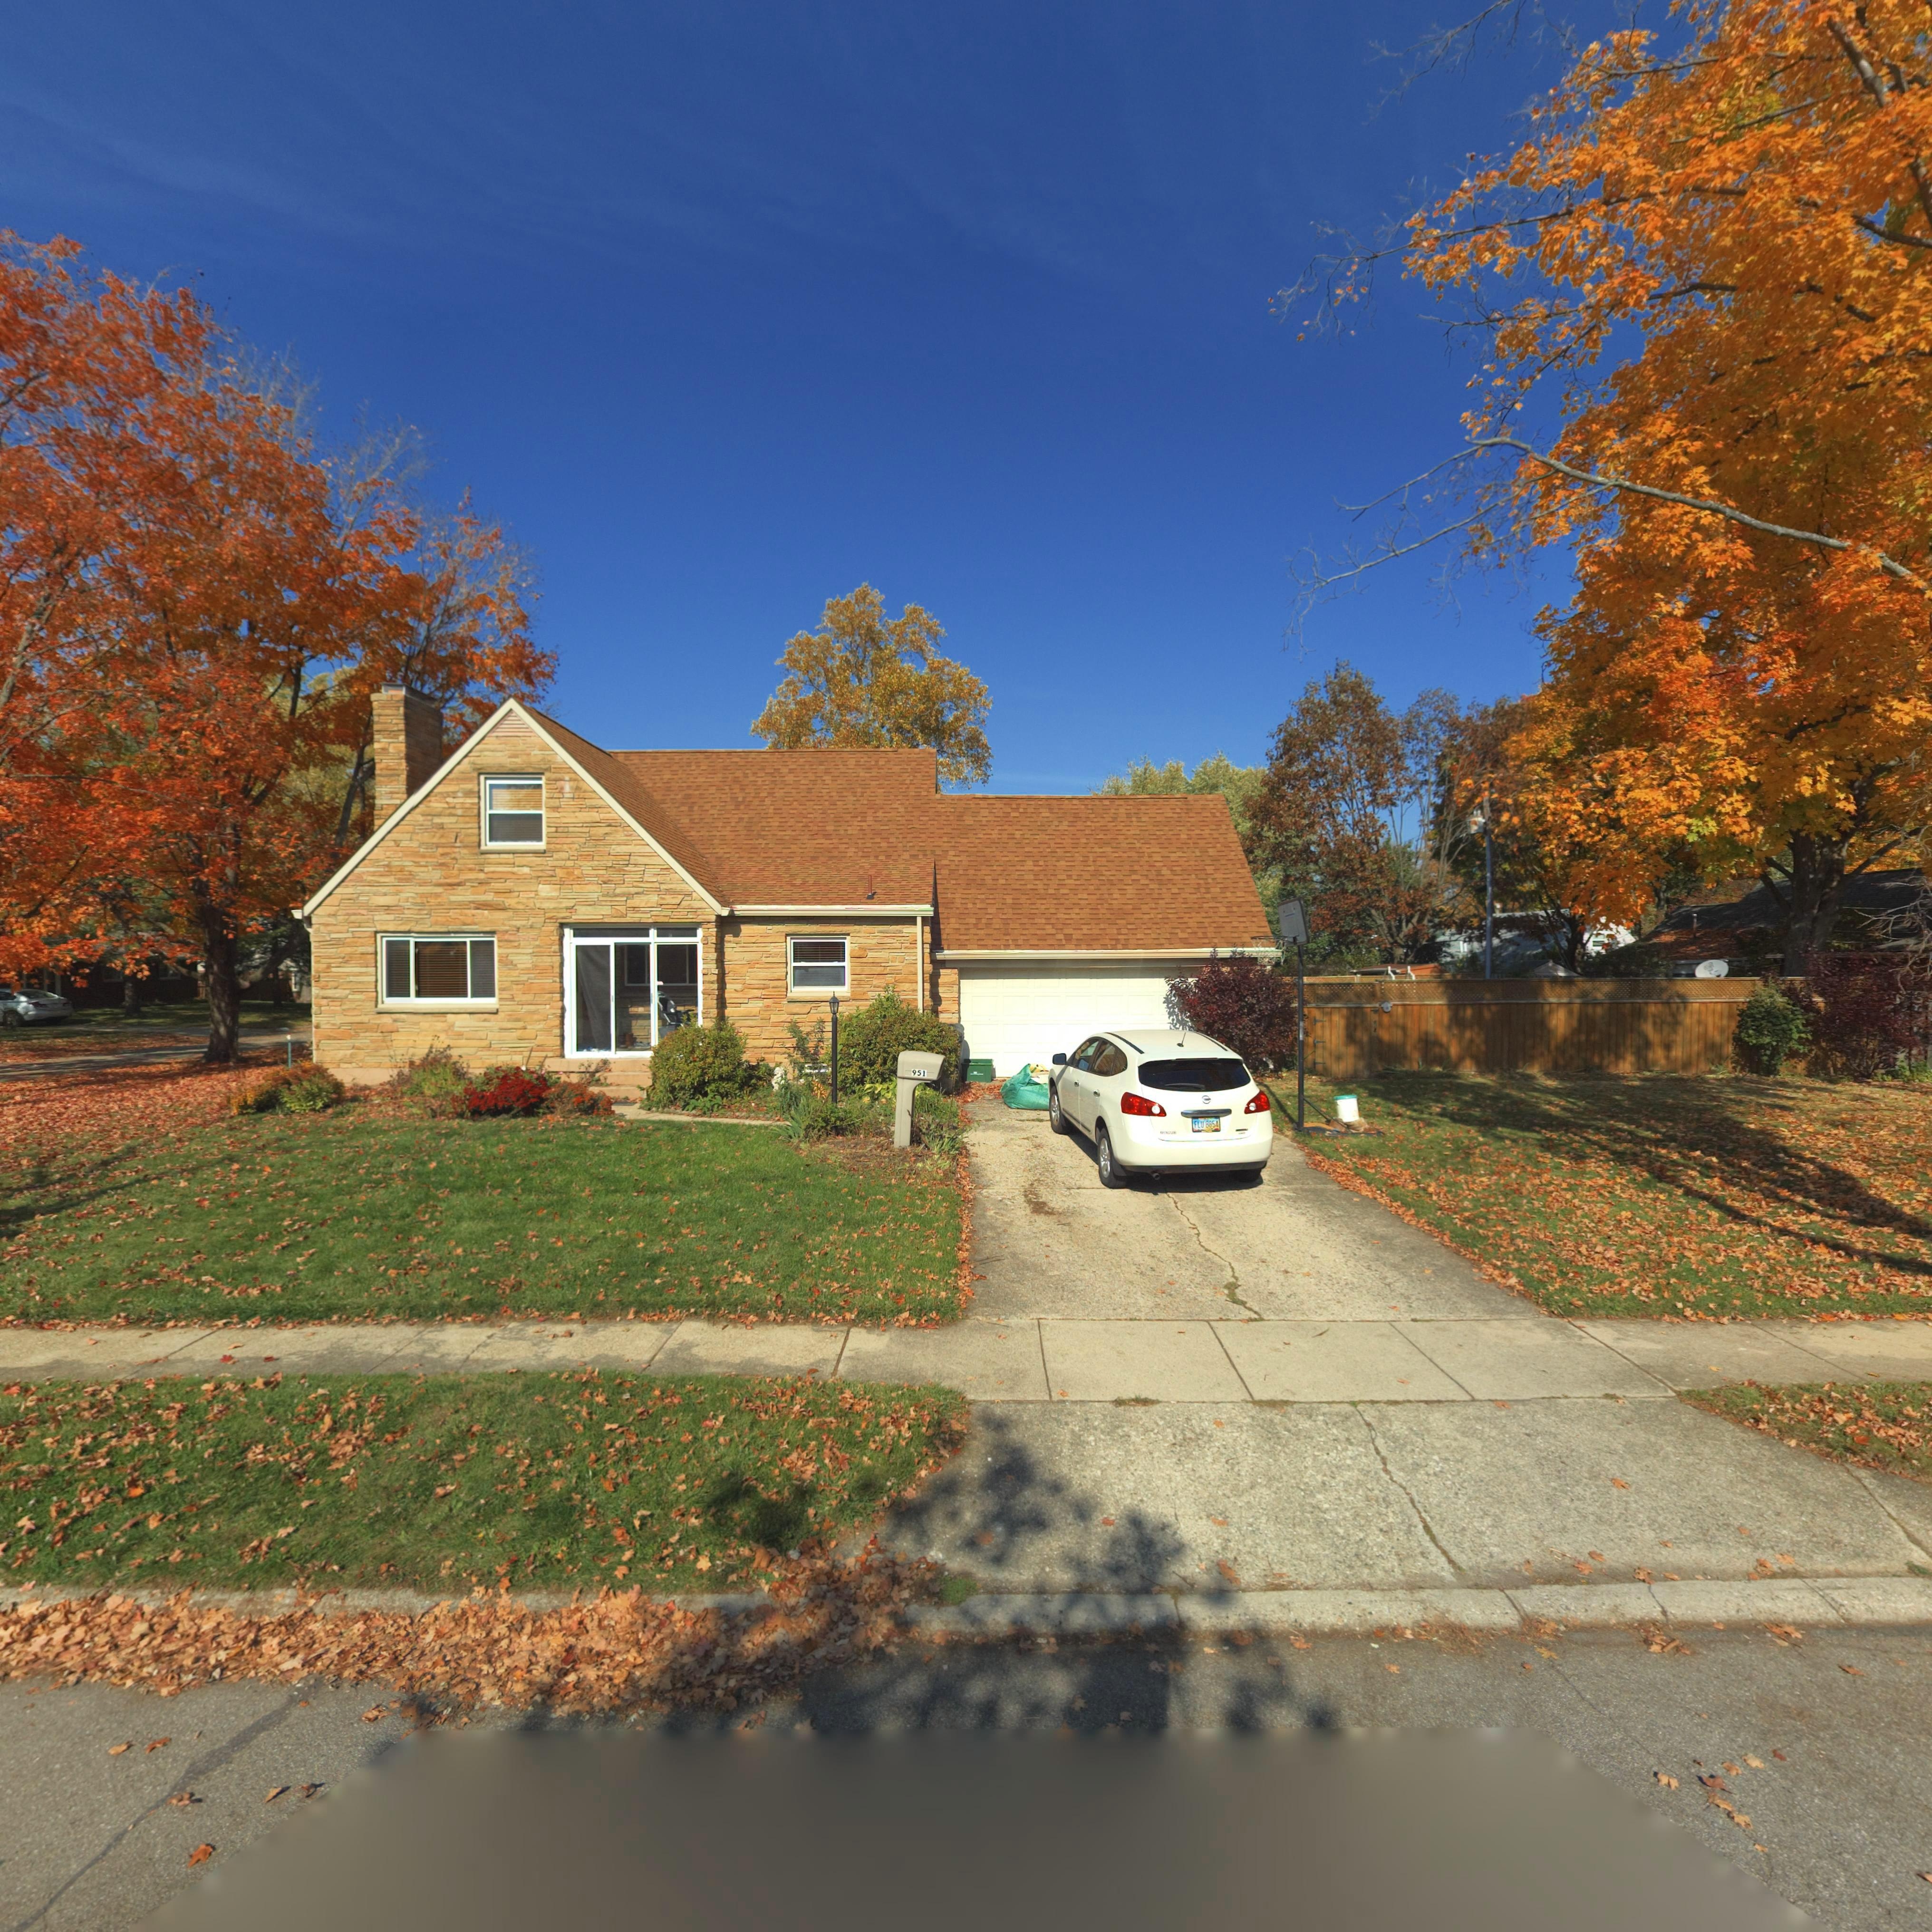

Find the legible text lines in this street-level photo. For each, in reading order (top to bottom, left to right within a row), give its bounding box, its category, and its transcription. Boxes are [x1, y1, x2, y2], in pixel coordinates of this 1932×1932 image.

[910, 1068, 927, 1078] StreetNumber: 951
[1193, 1119, 1220, 1130] None: FLU 8854